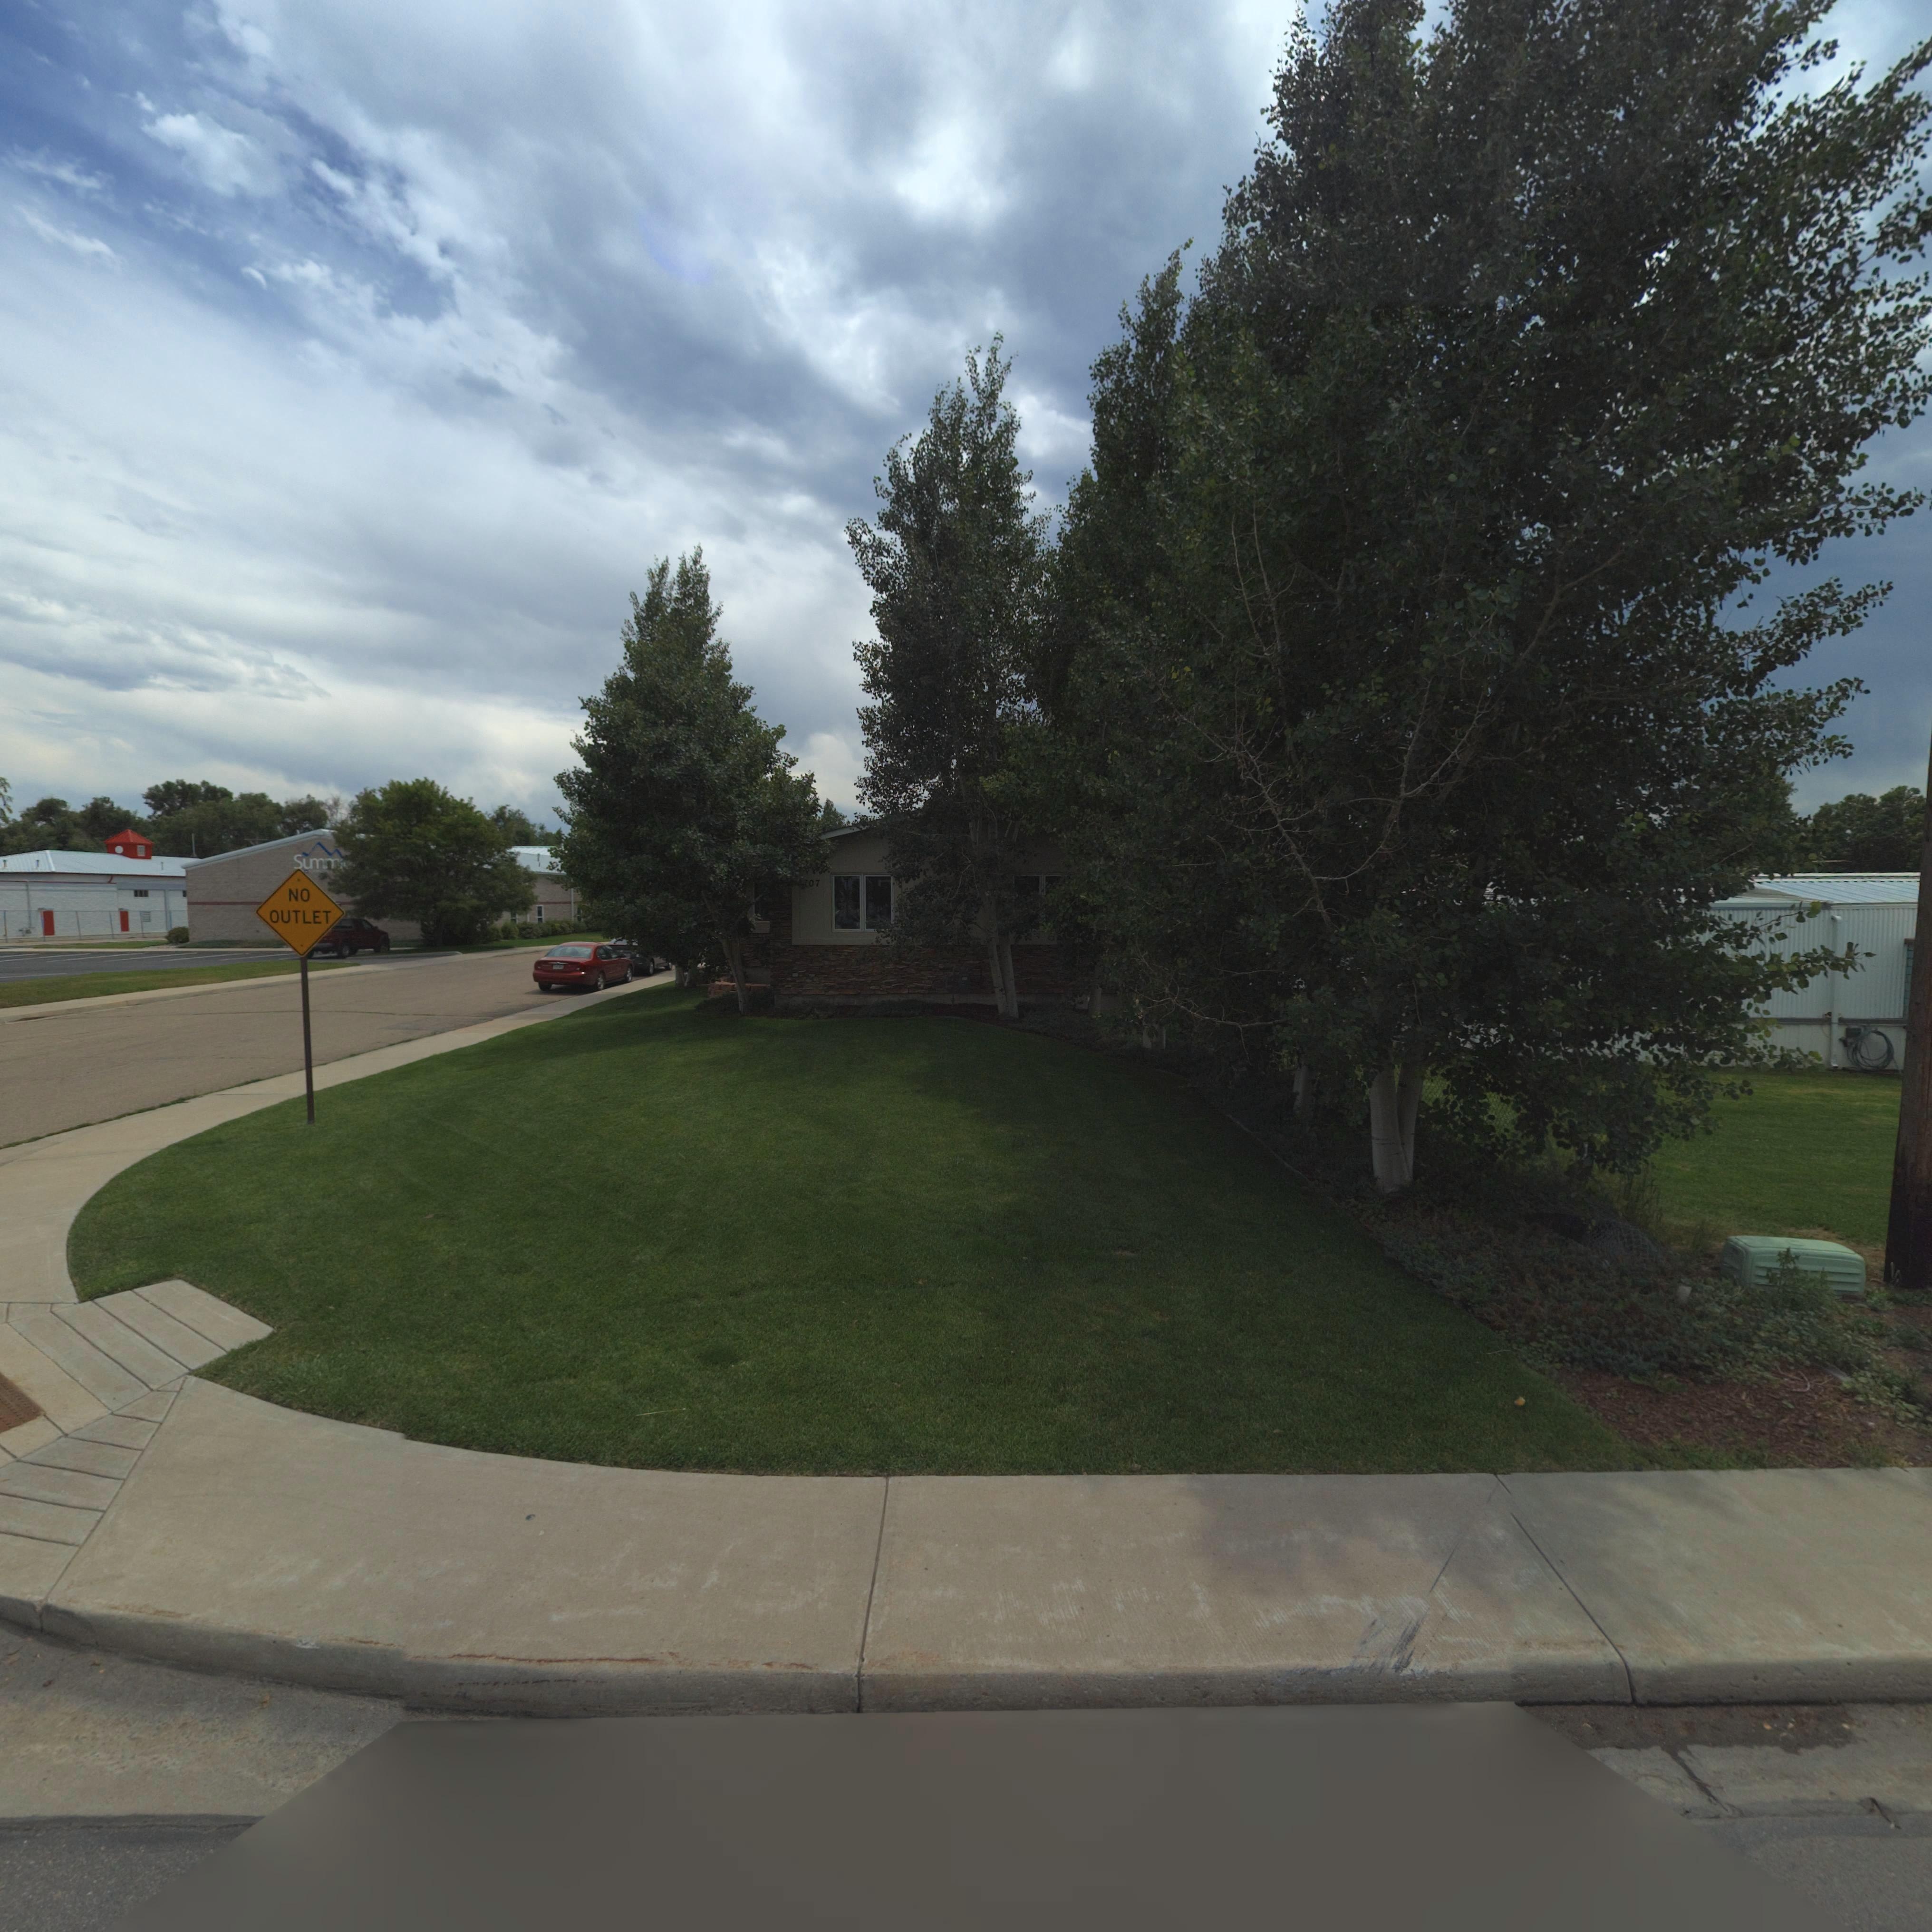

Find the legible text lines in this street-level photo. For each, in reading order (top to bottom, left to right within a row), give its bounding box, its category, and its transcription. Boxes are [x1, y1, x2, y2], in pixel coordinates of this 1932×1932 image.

[292, 853, 347, 871] BusinessName: Su*m**
[803, 879, 821, 887] StreetNumber: *07